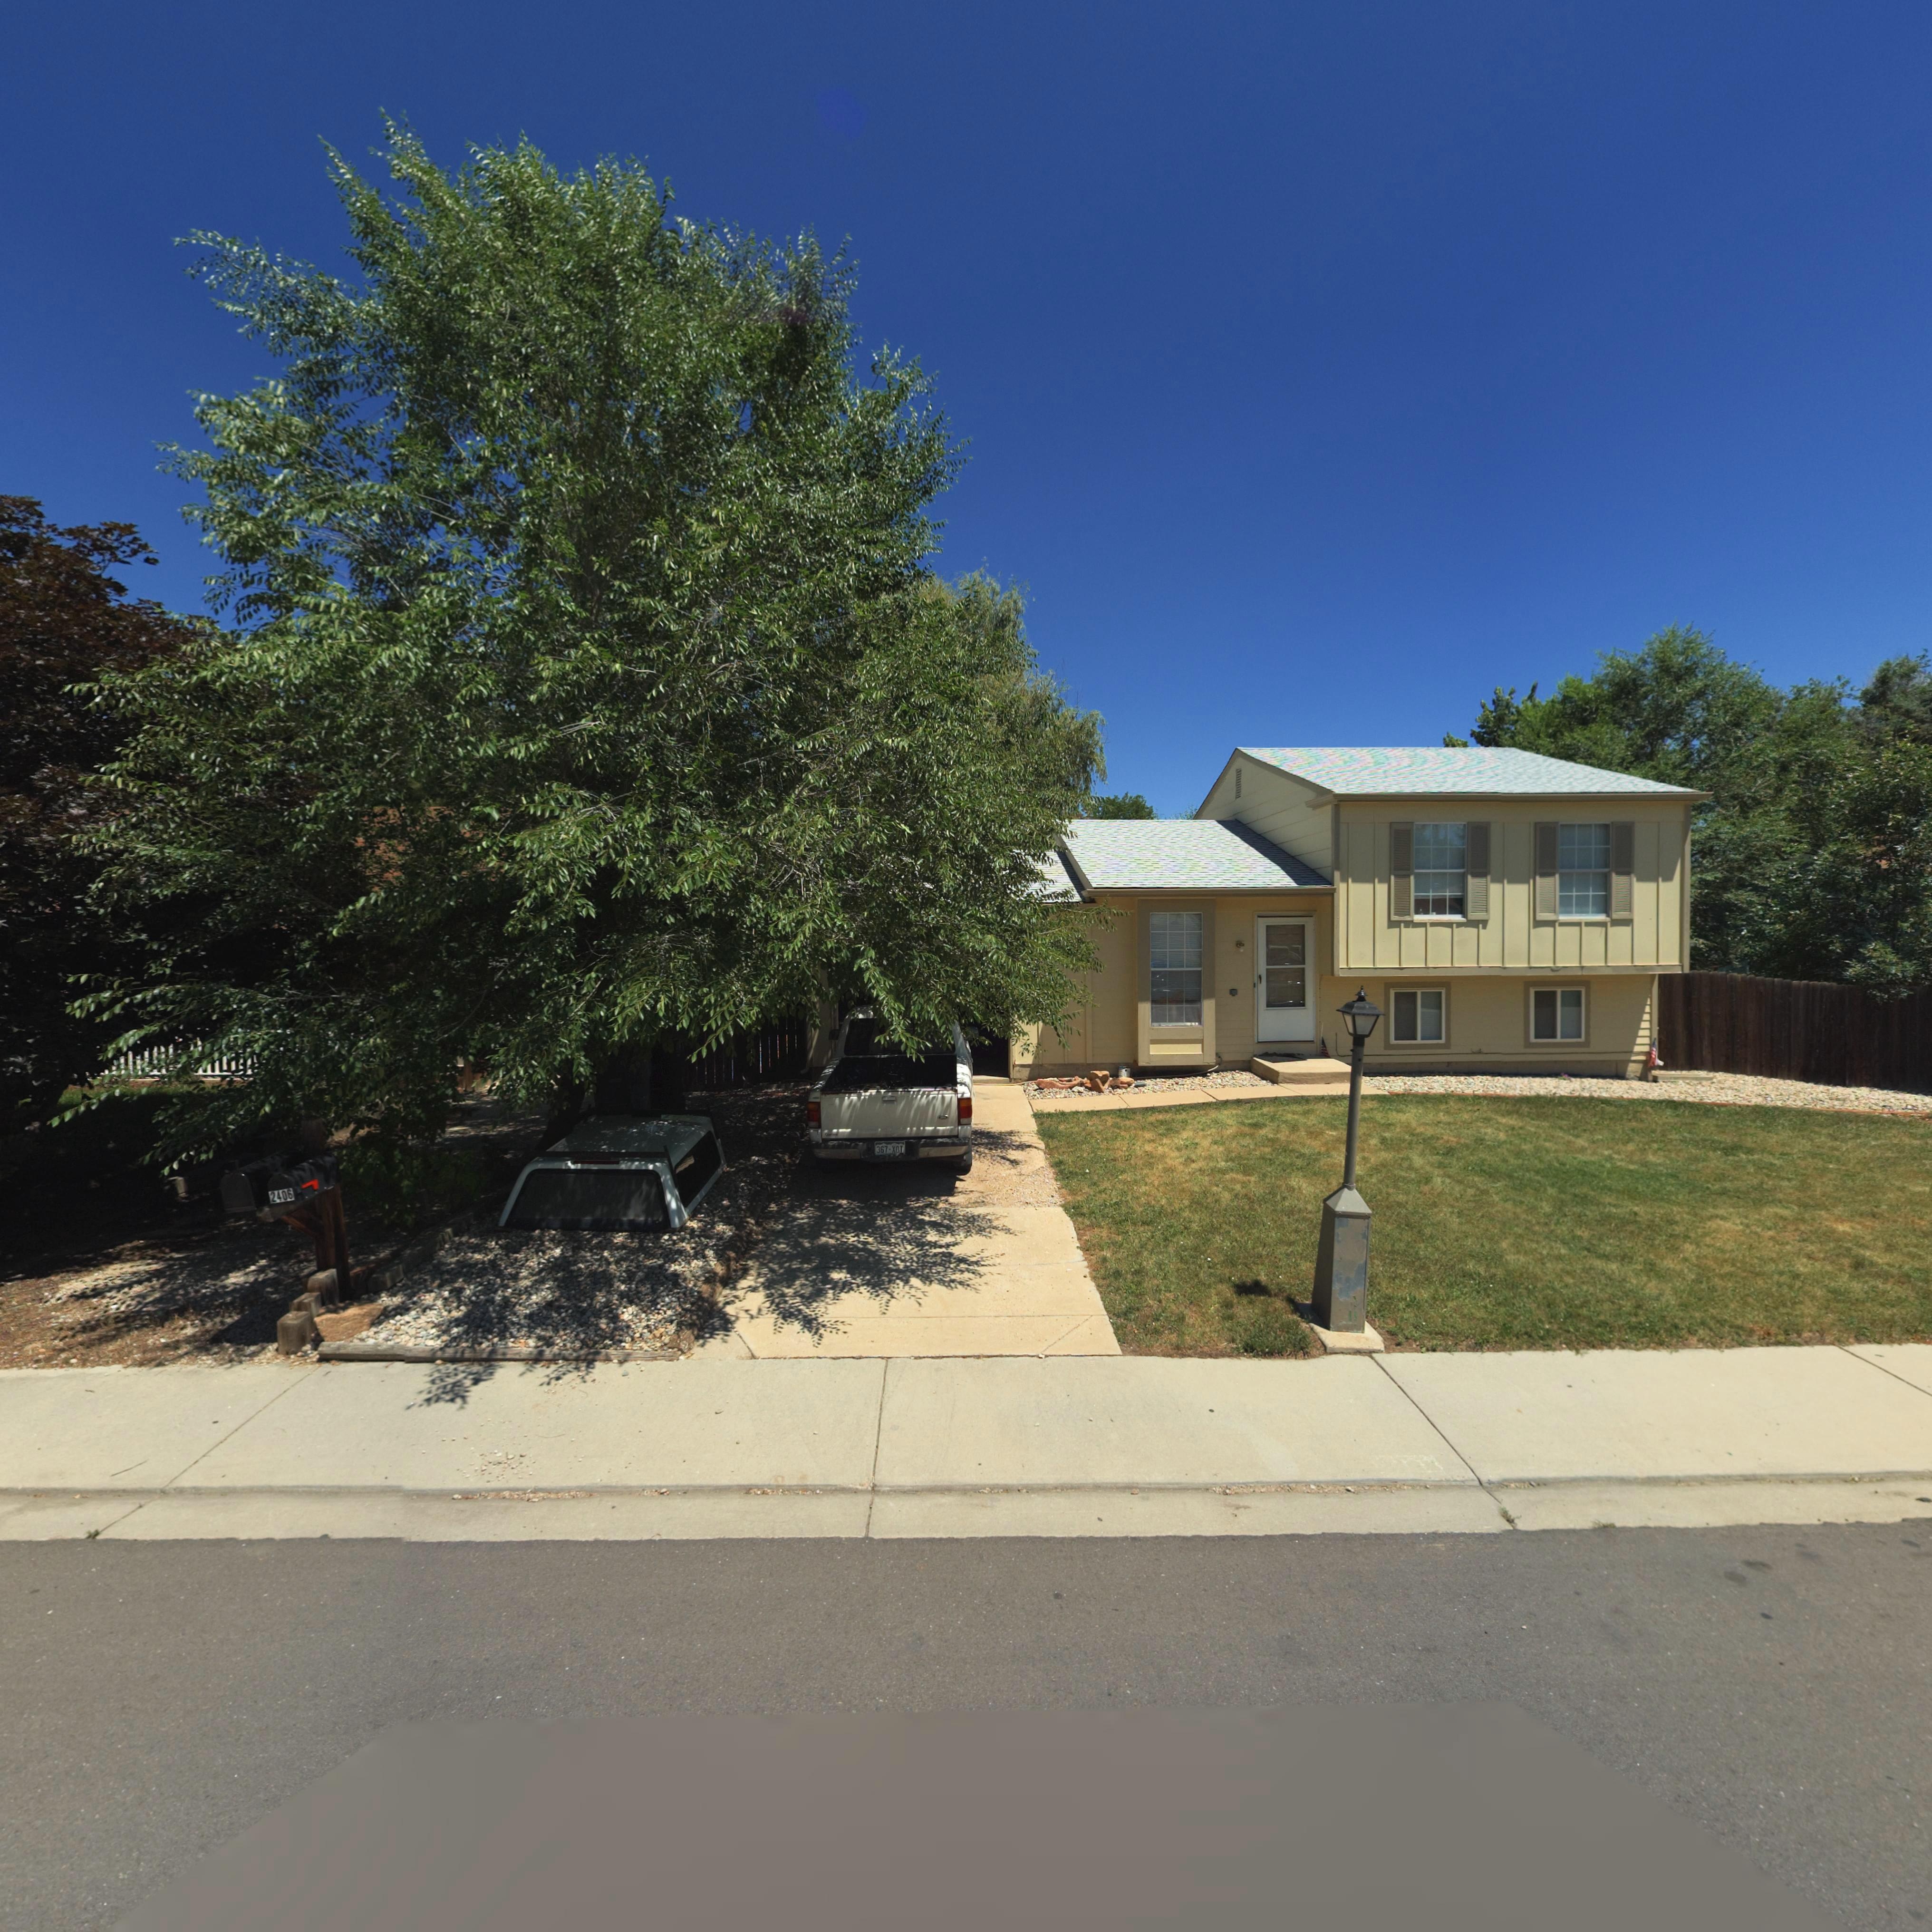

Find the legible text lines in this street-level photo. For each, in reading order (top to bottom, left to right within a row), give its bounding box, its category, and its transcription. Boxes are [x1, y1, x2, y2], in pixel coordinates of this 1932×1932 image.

[269, 1188, 293, 1203] StreetNumber: 2406